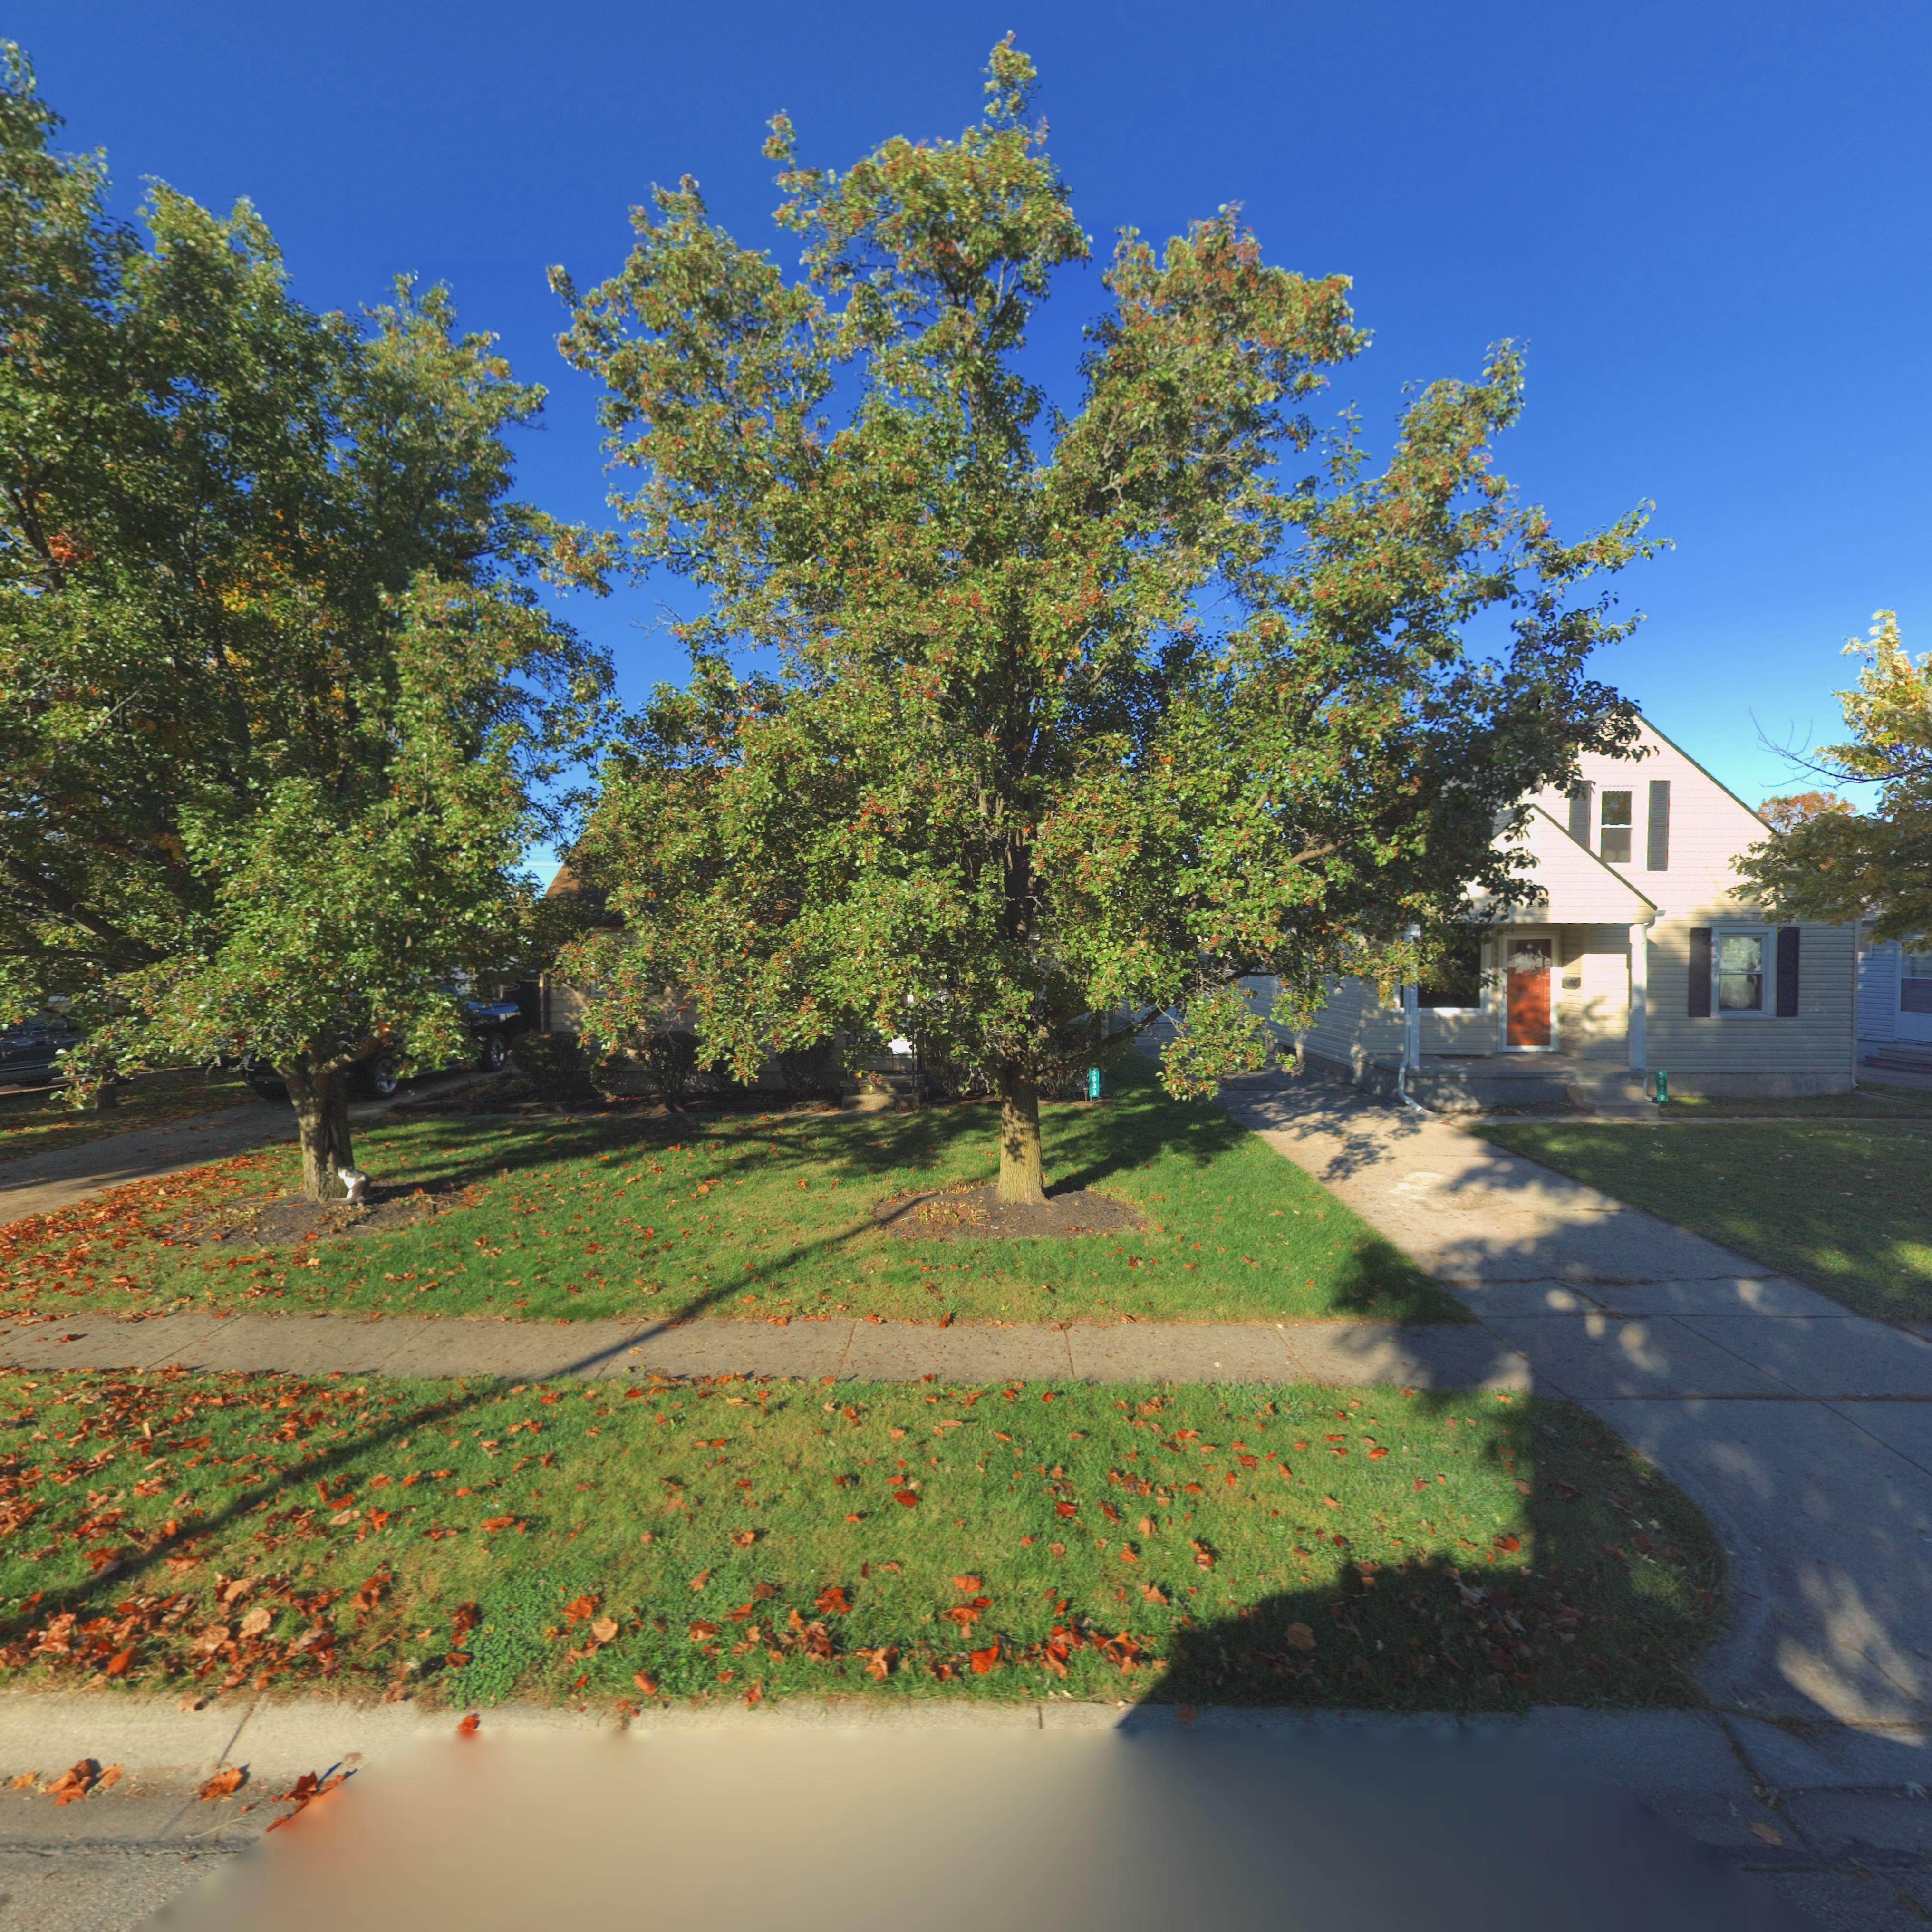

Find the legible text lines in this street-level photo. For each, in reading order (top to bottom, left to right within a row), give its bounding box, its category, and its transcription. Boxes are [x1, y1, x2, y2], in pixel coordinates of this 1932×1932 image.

[1092, 1068, 1097, 1096] StreetNumber: 5033
[1658, 1071, 1665, 1101] StreetNumber: 5029